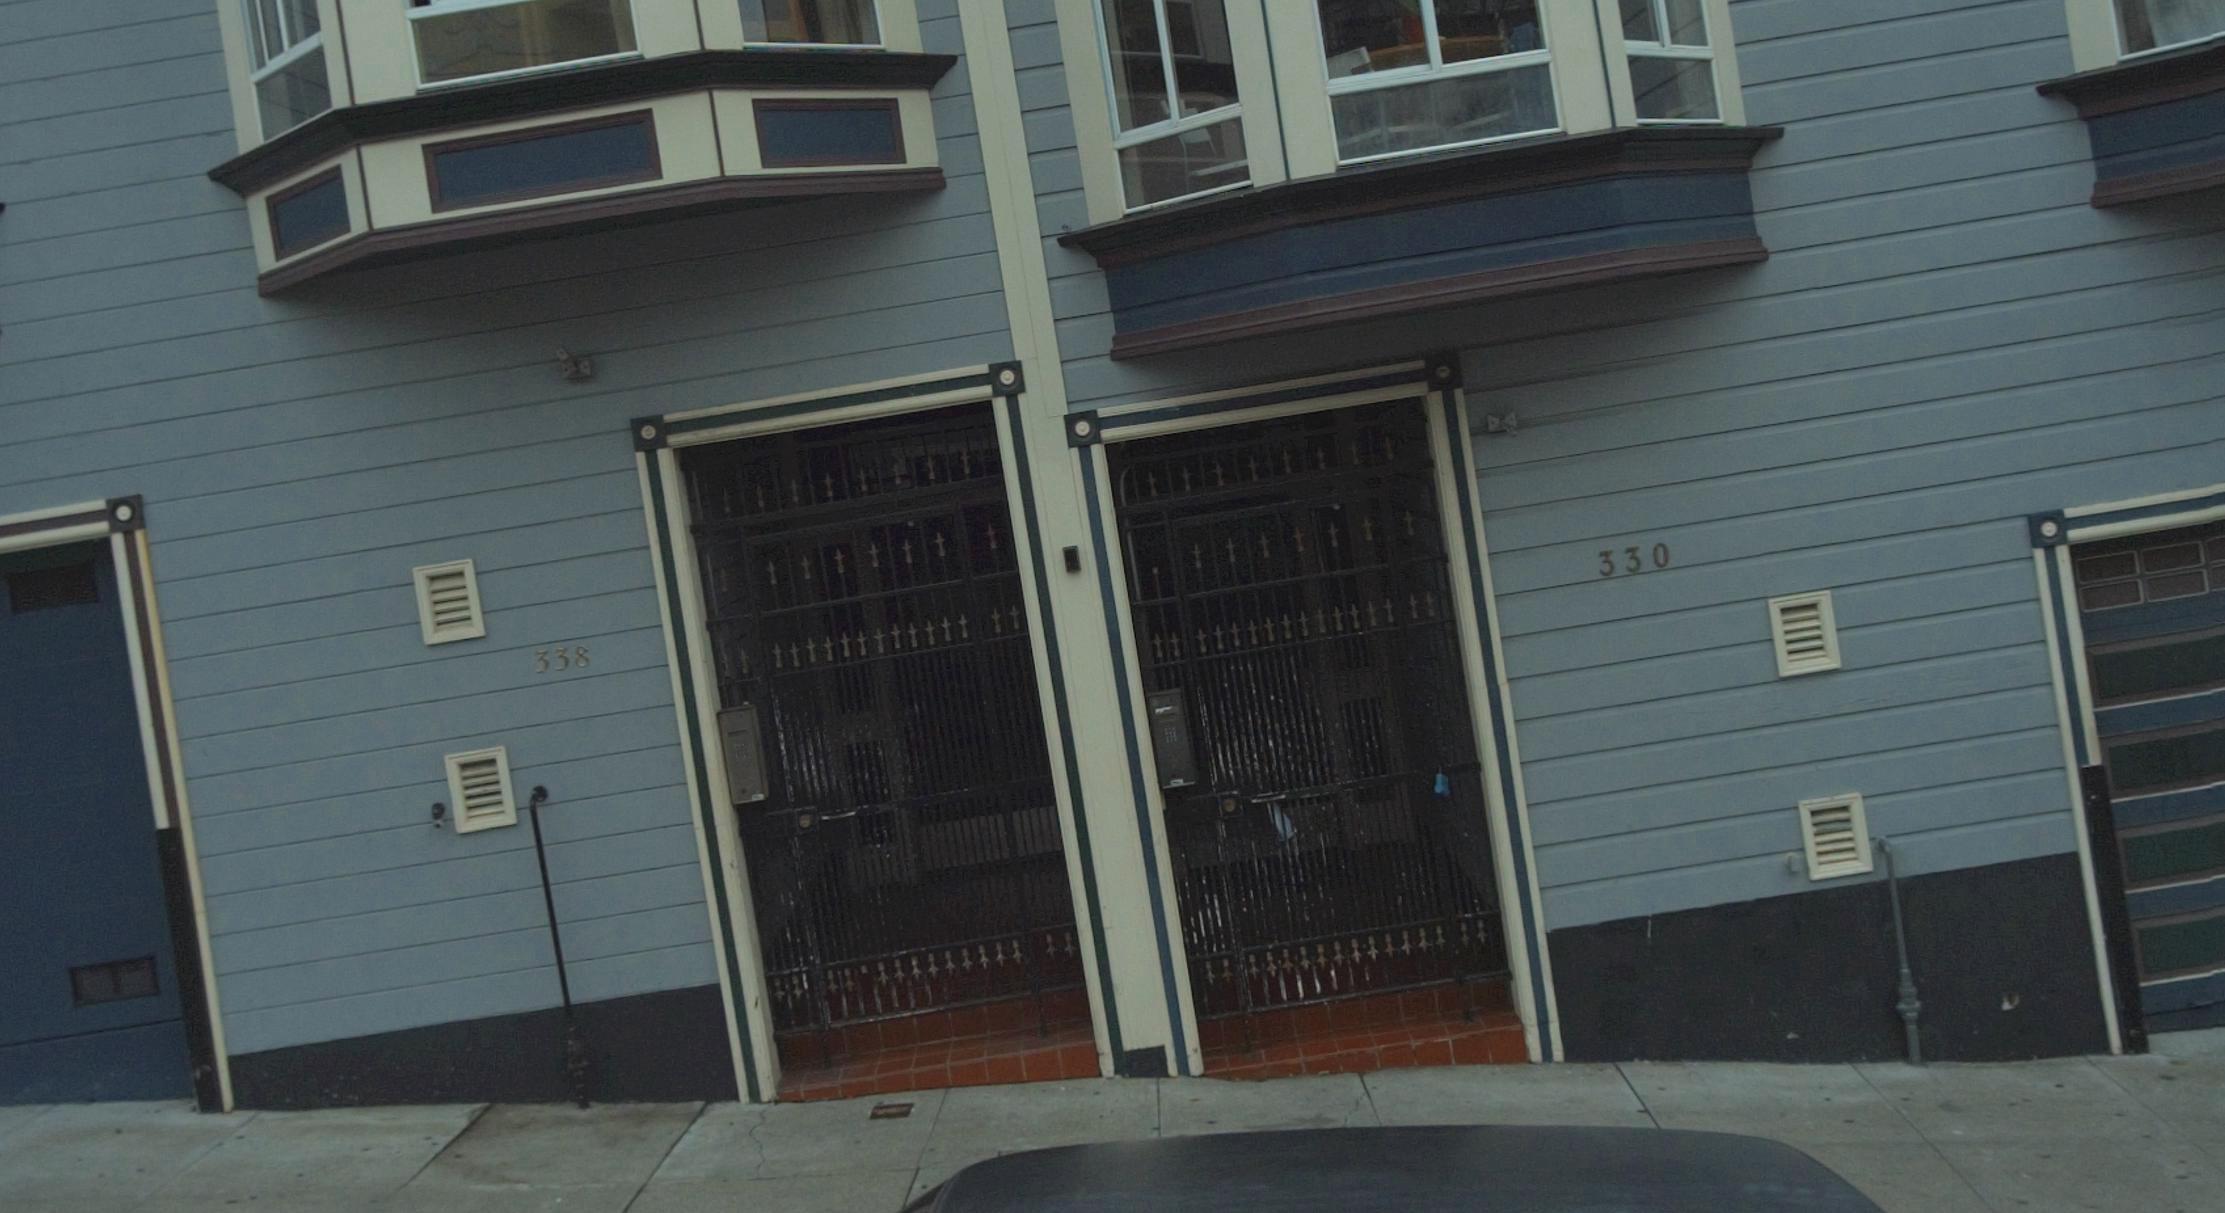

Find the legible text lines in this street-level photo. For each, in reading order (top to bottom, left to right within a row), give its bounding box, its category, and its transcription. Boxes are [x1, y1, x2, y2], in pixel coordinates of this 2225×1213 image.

[1595, 539, 1673, 580] StreetNumber: 330
[532, 642, 593, 677] StreetNumber: 338